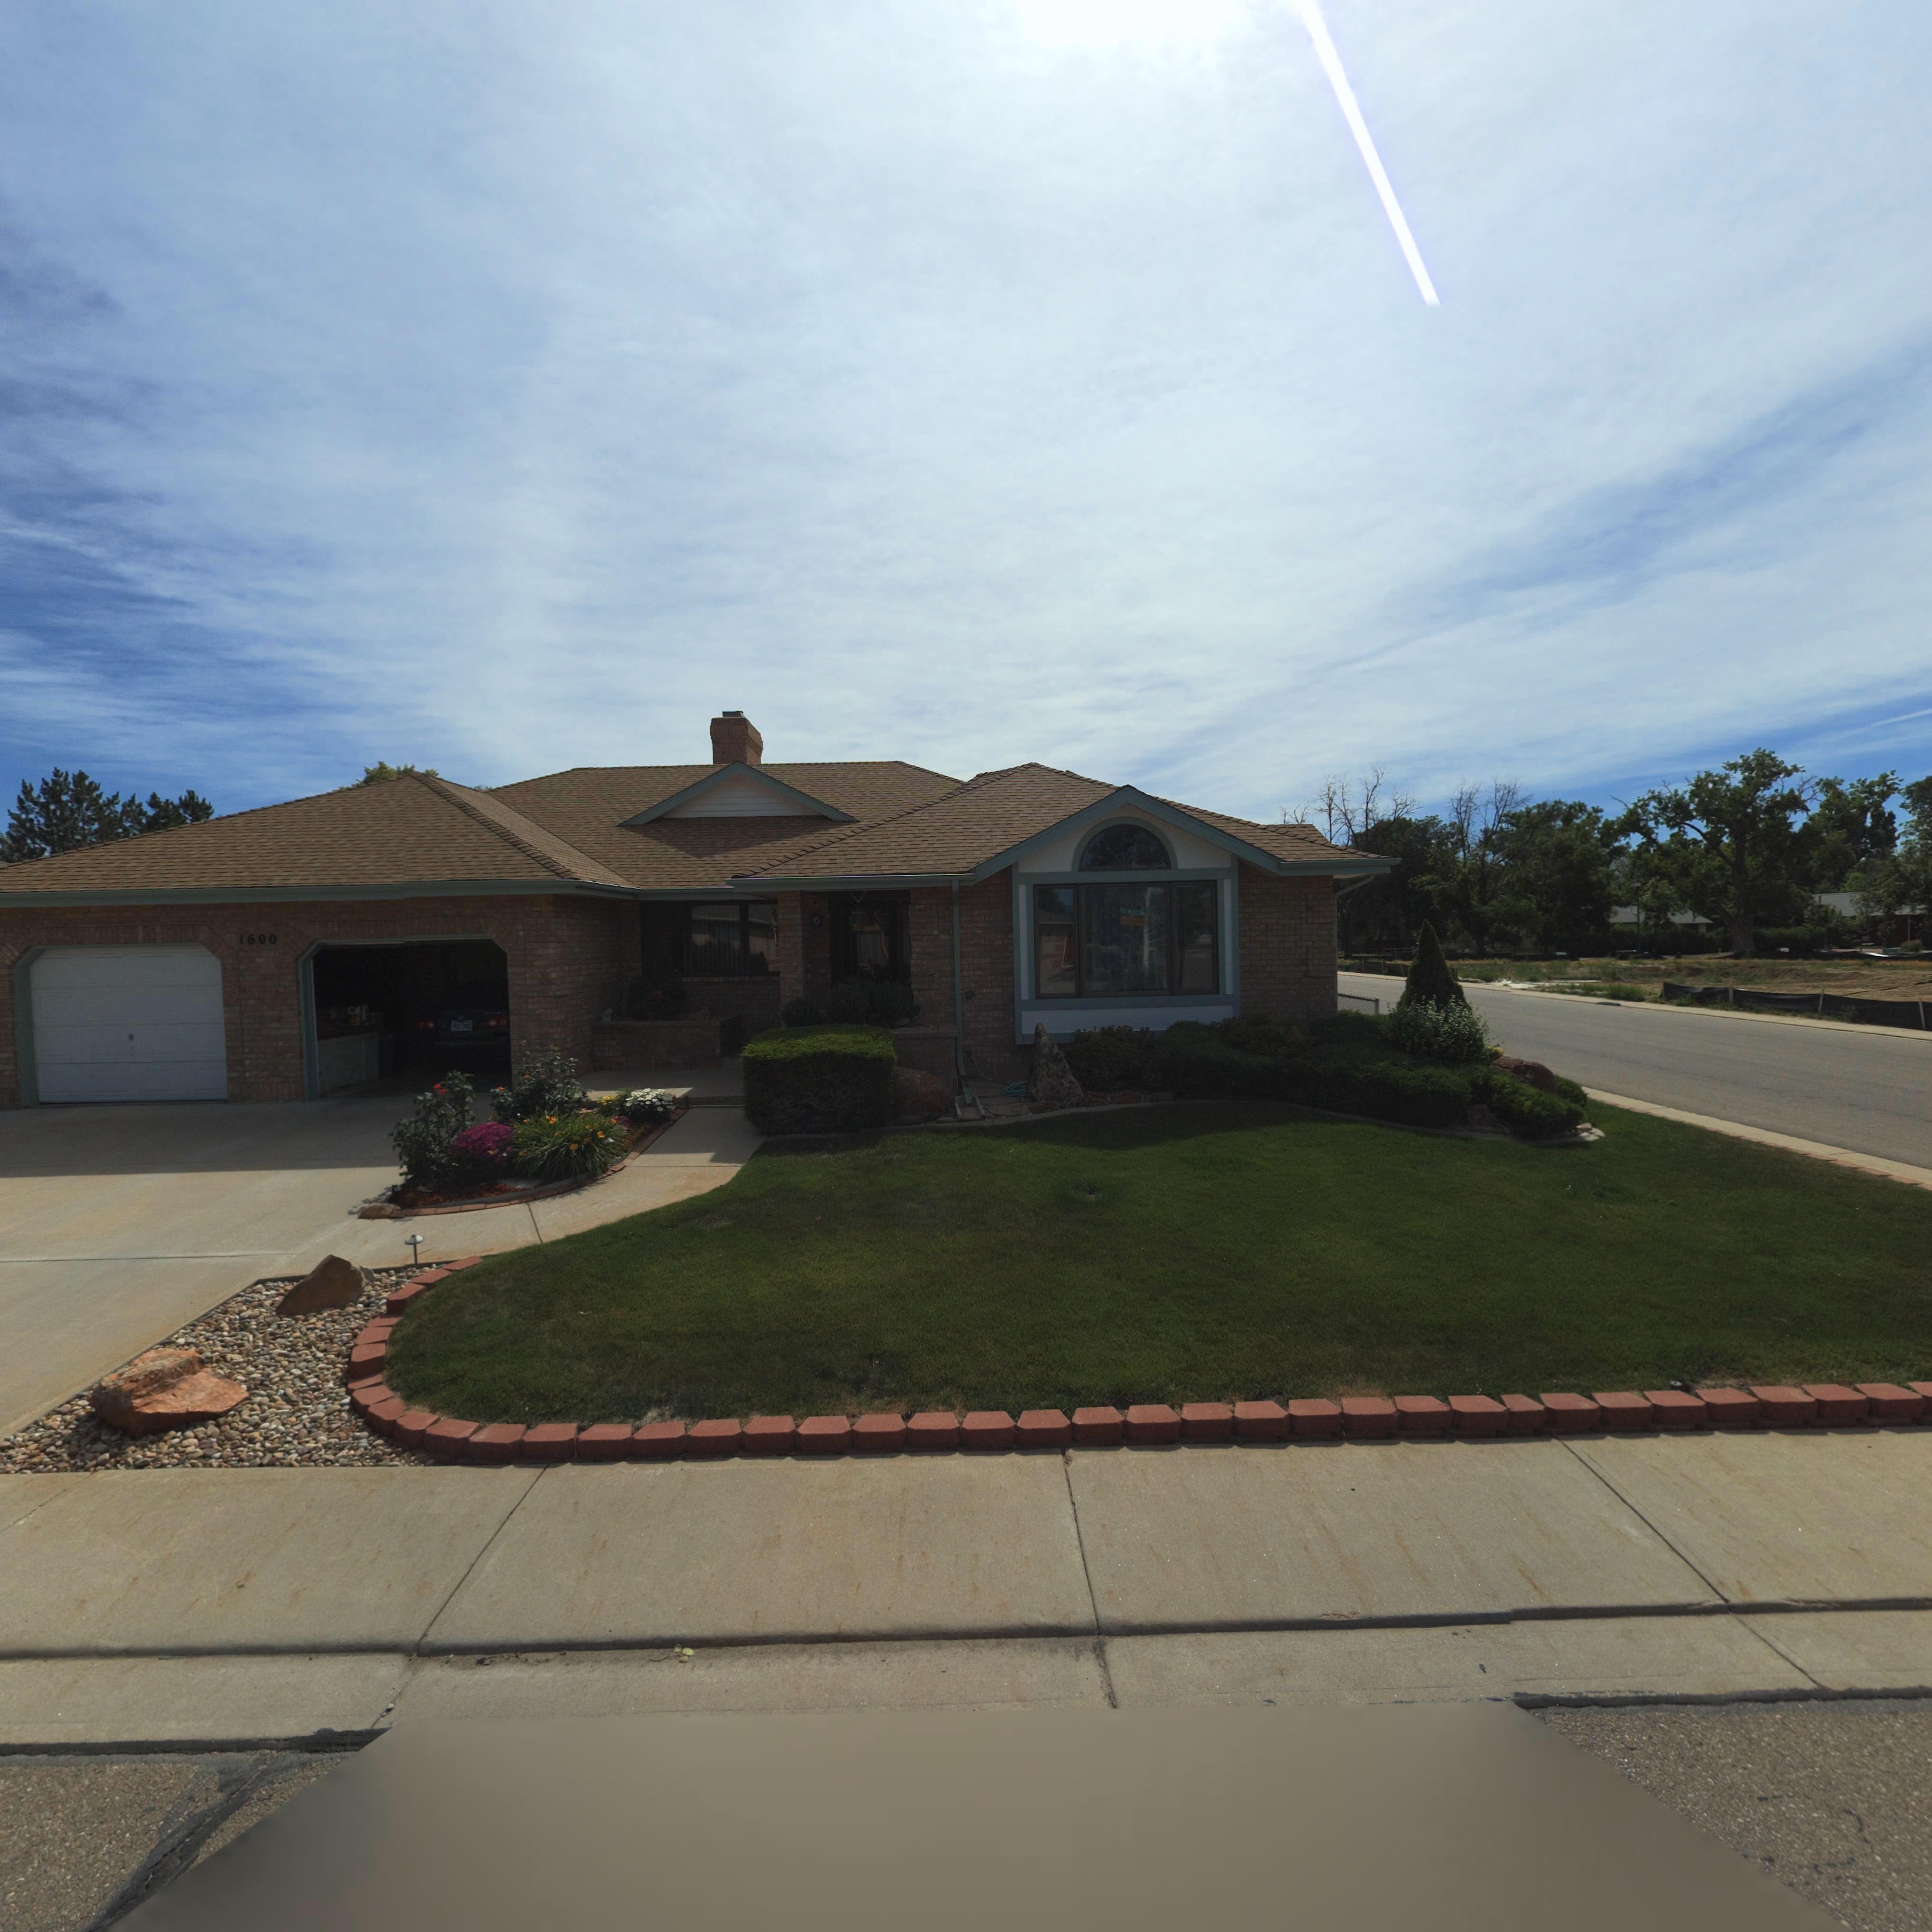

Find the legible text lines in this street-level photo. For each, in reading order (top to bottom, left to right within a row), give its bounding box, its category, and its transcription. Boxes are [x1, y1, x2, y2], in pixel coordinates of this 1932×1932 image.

[238, 933, 277, 945] StreetNumber: 1600